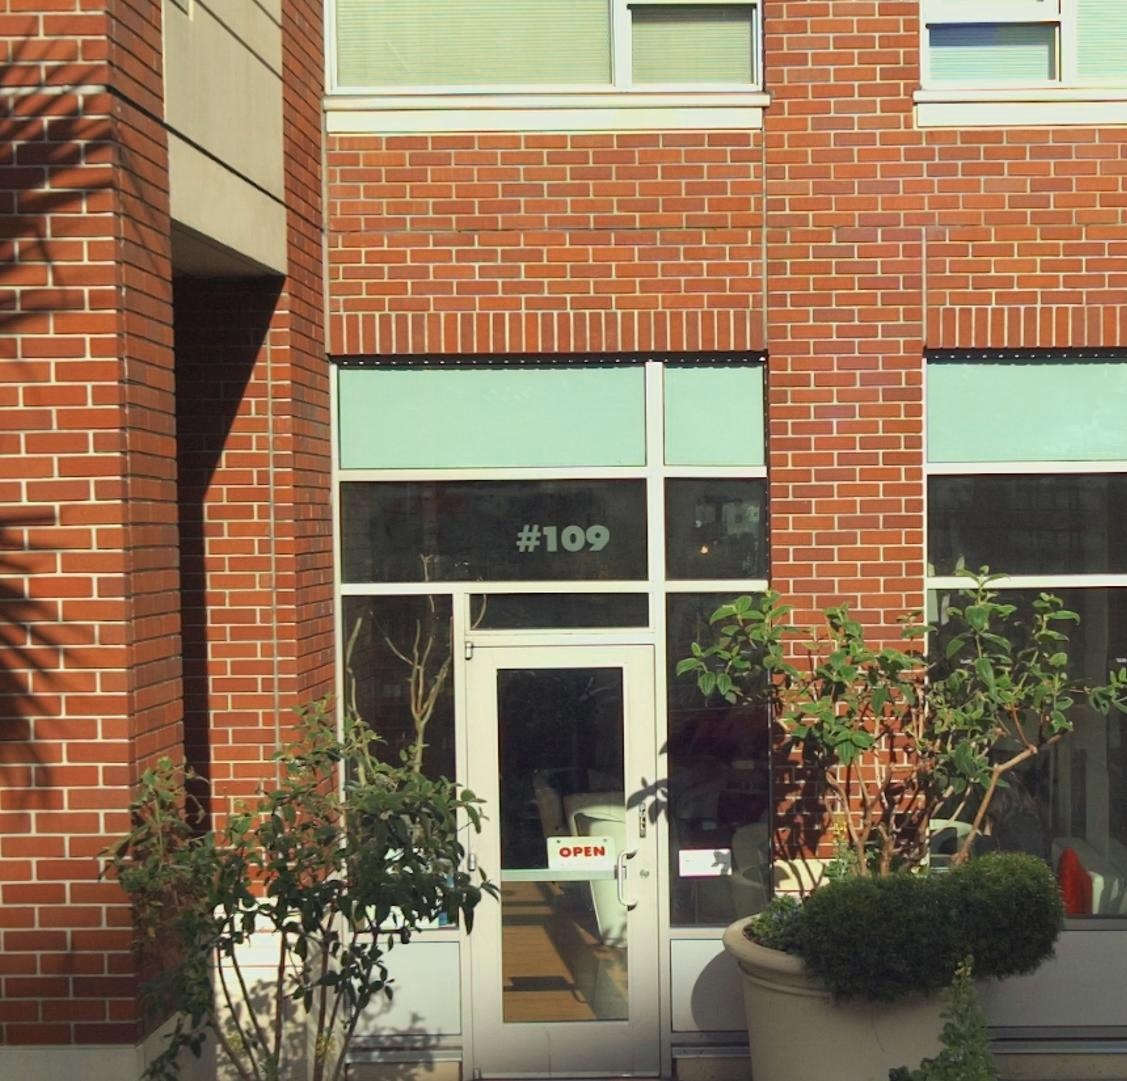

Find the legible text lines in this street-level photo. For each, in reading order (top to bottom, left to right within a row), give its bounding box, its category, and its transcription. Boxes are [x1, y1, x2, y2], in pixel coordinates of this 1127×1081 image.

[541, 523, 613, 554] StreetNumber: 109
[555, 842, 609, 861] None: OPEN